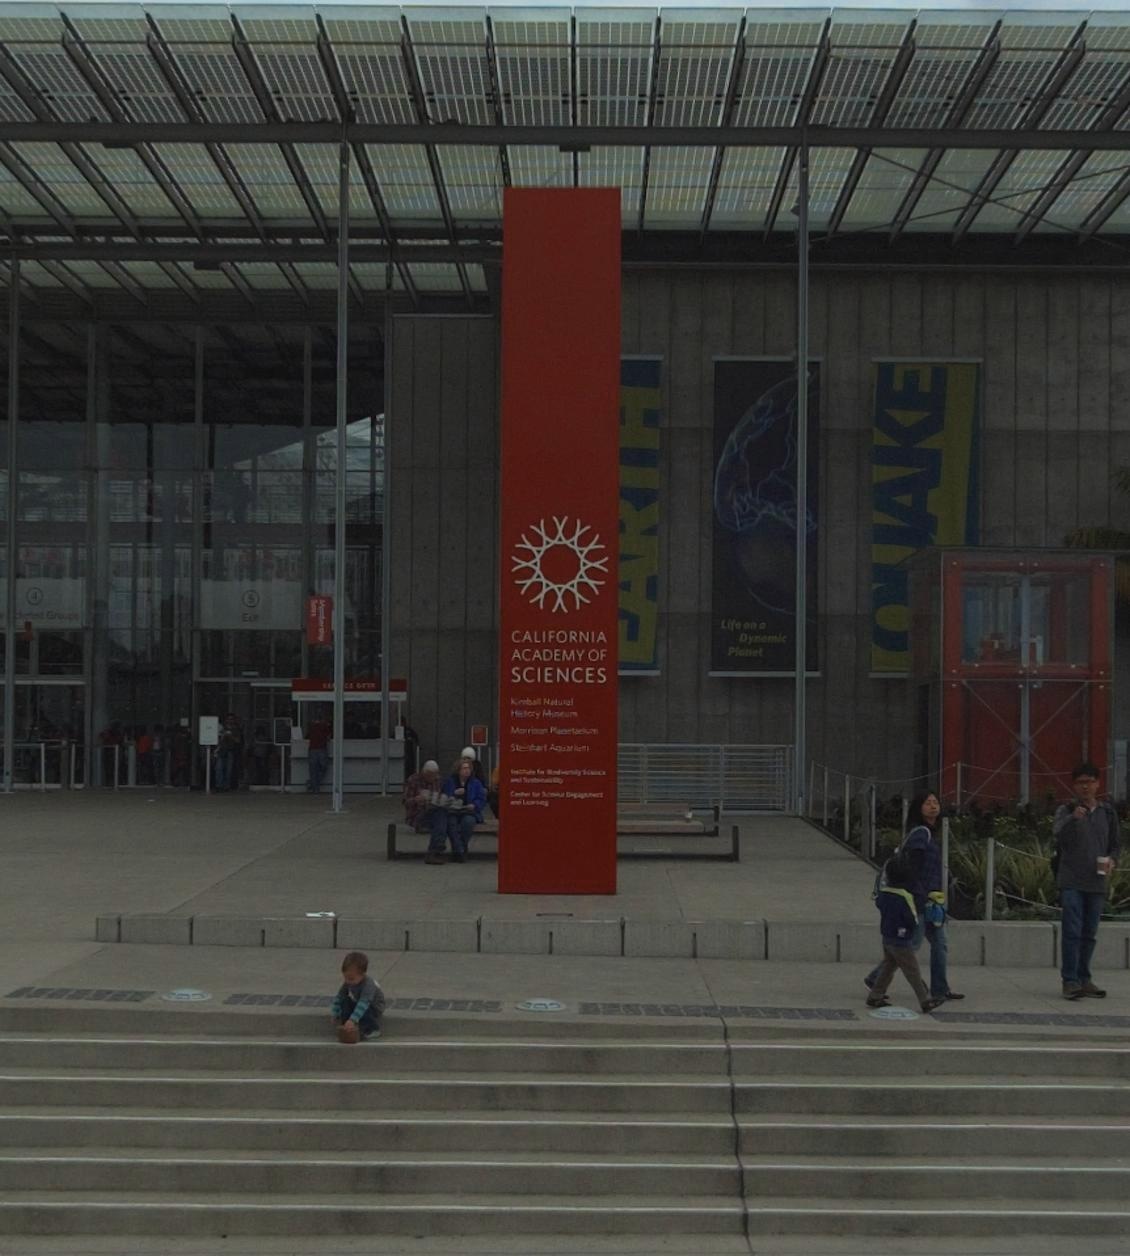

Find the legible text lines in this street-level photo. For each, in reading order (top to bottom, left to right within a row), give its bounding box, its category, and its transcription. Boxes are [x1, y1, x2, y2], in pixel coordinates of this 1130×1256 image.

[869, 361, 949, 538] None: AKE
[246, 592, 257, 606] None: S
[241, 611, 250, 623] None: E
[719, 616, 768, 632] None: Life on a
[508, 628, 610, 645] BusinessName: CALIFORNIA
[737, 631, 789, 646] None: DYnamic
[509, 647, 609, 663] BusinessName: ACADEMY OF
[725, 644, 765, 658] None: Plan*t
[509, 664, 609, 685] BusinessName: SCIENCES